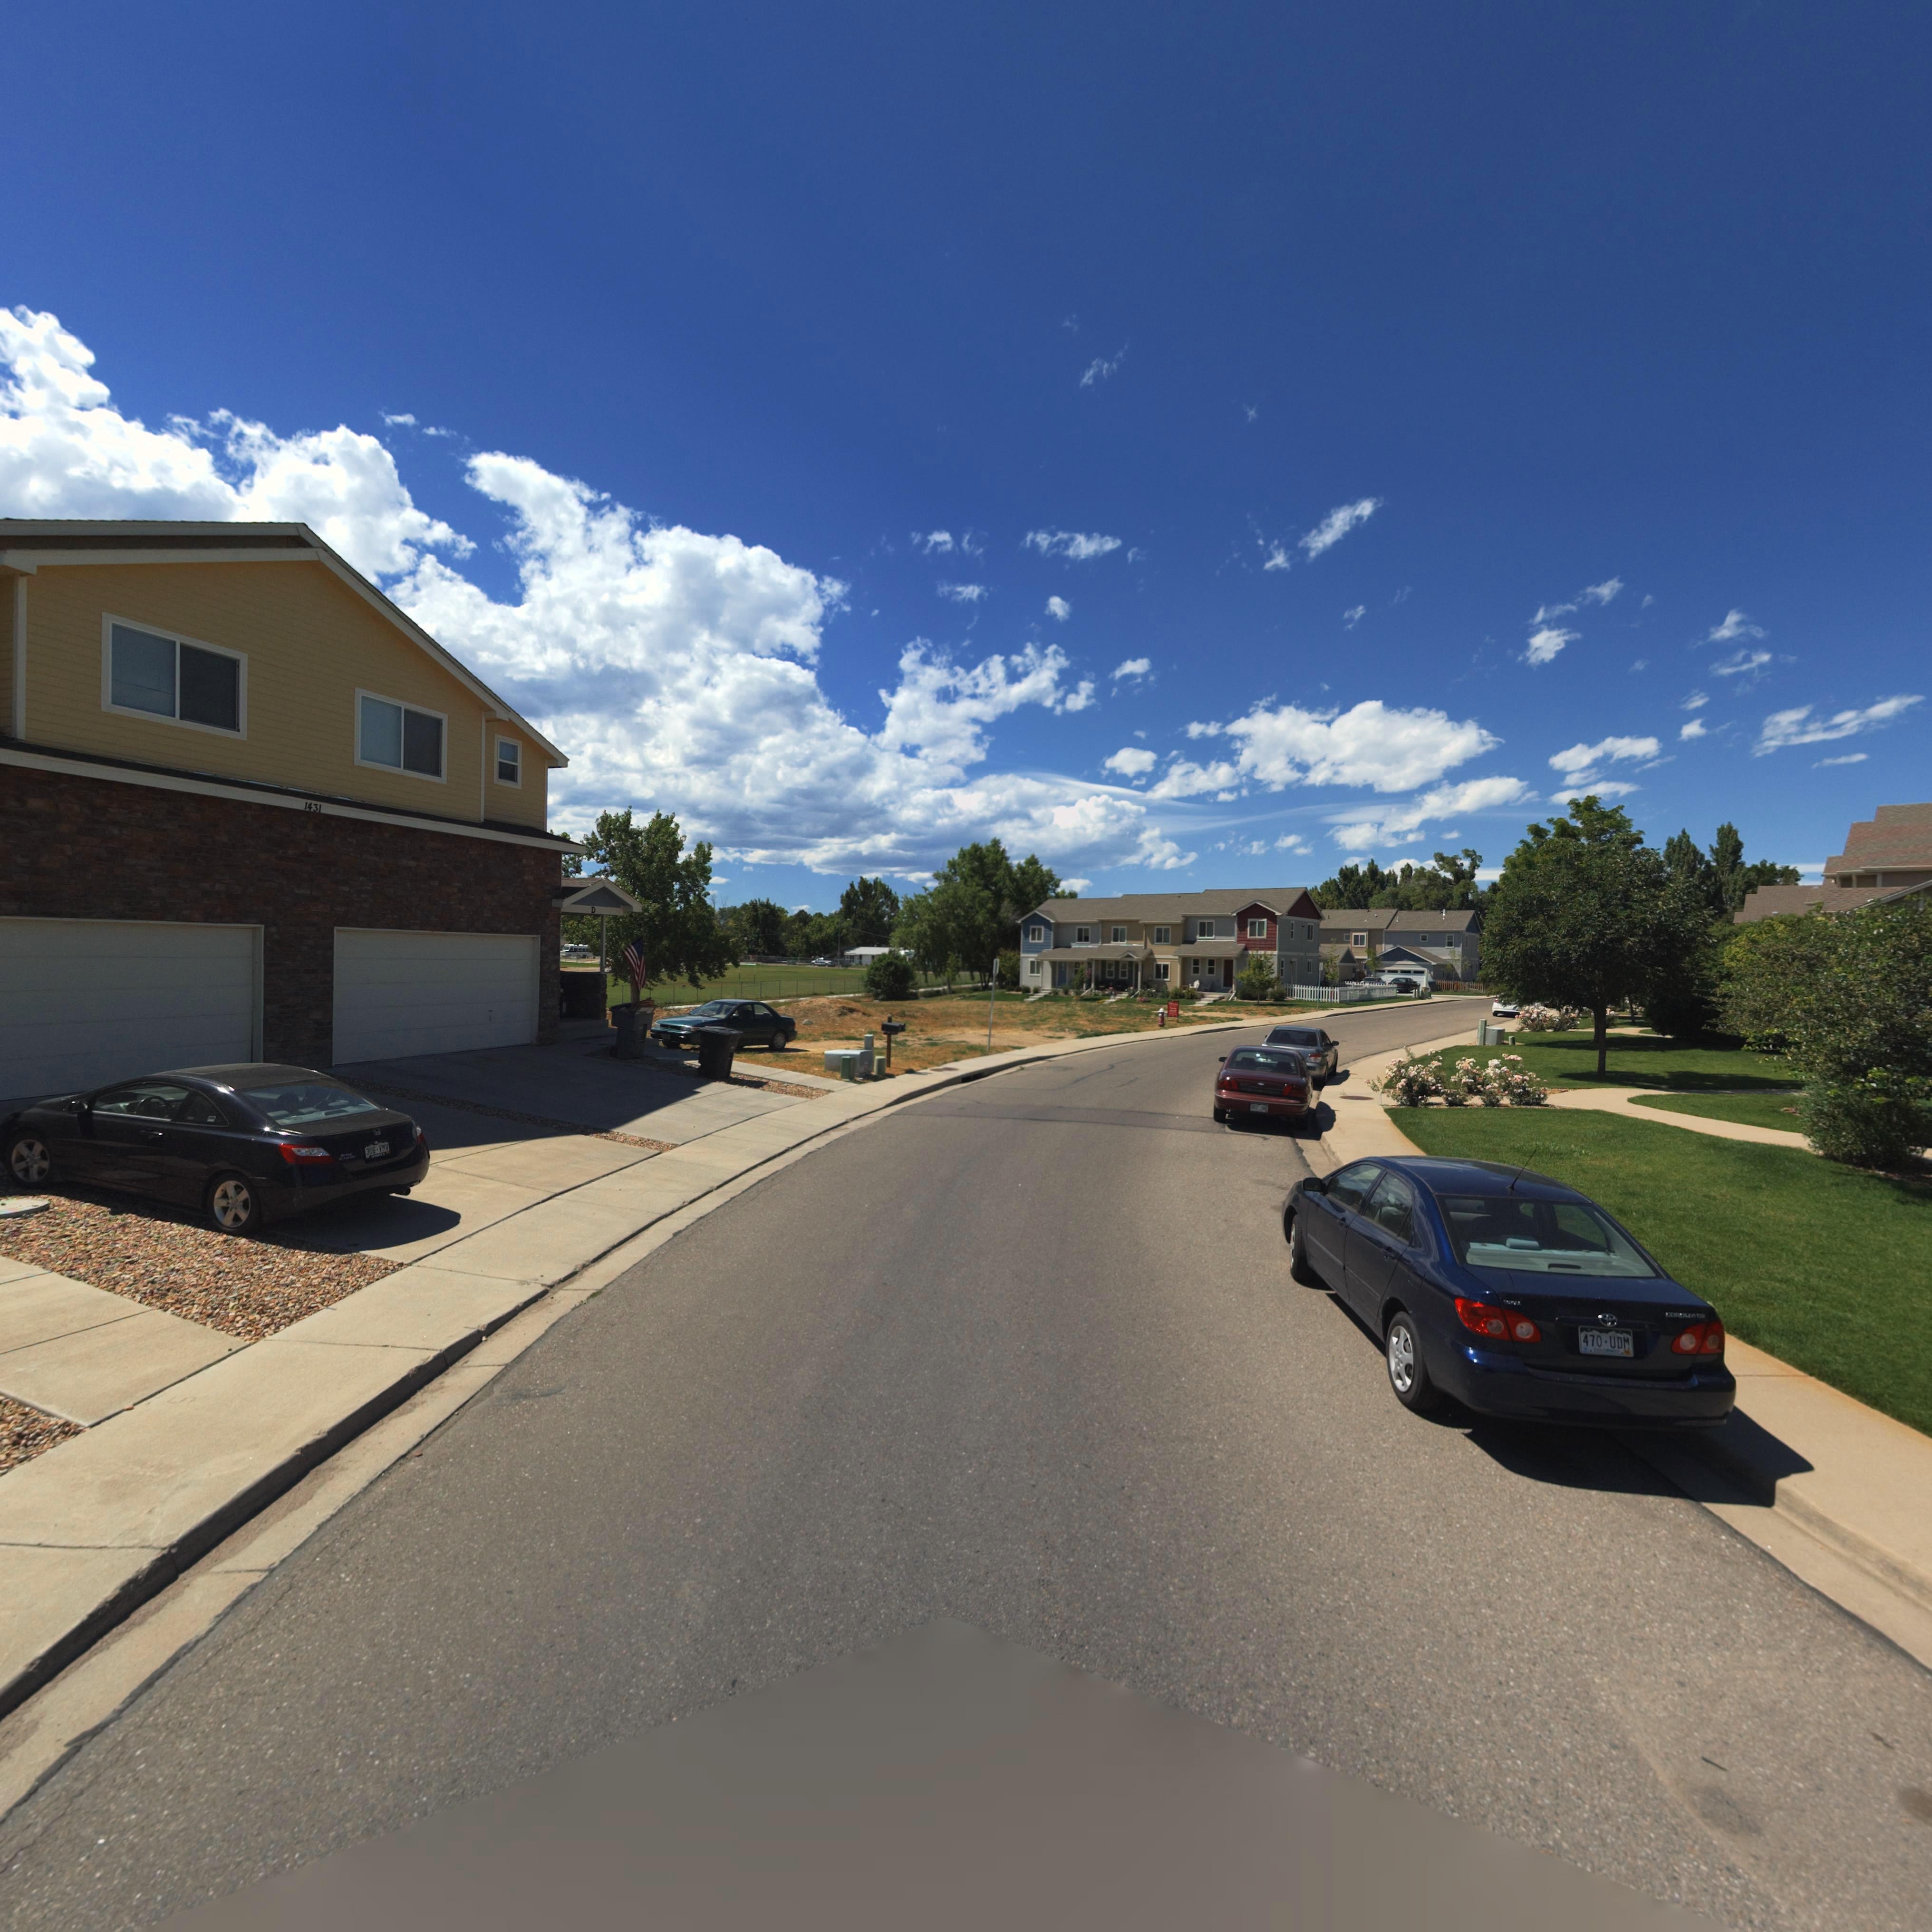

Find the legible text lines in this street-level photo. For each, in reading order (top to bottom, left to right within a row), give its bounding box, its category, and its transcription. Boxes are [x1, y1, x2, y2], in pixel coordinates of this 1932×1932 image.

[303, 801, 321, 812] StreetNumber: 1431
[590, 906, 596, 913] SecondaryUnitDesignator: D